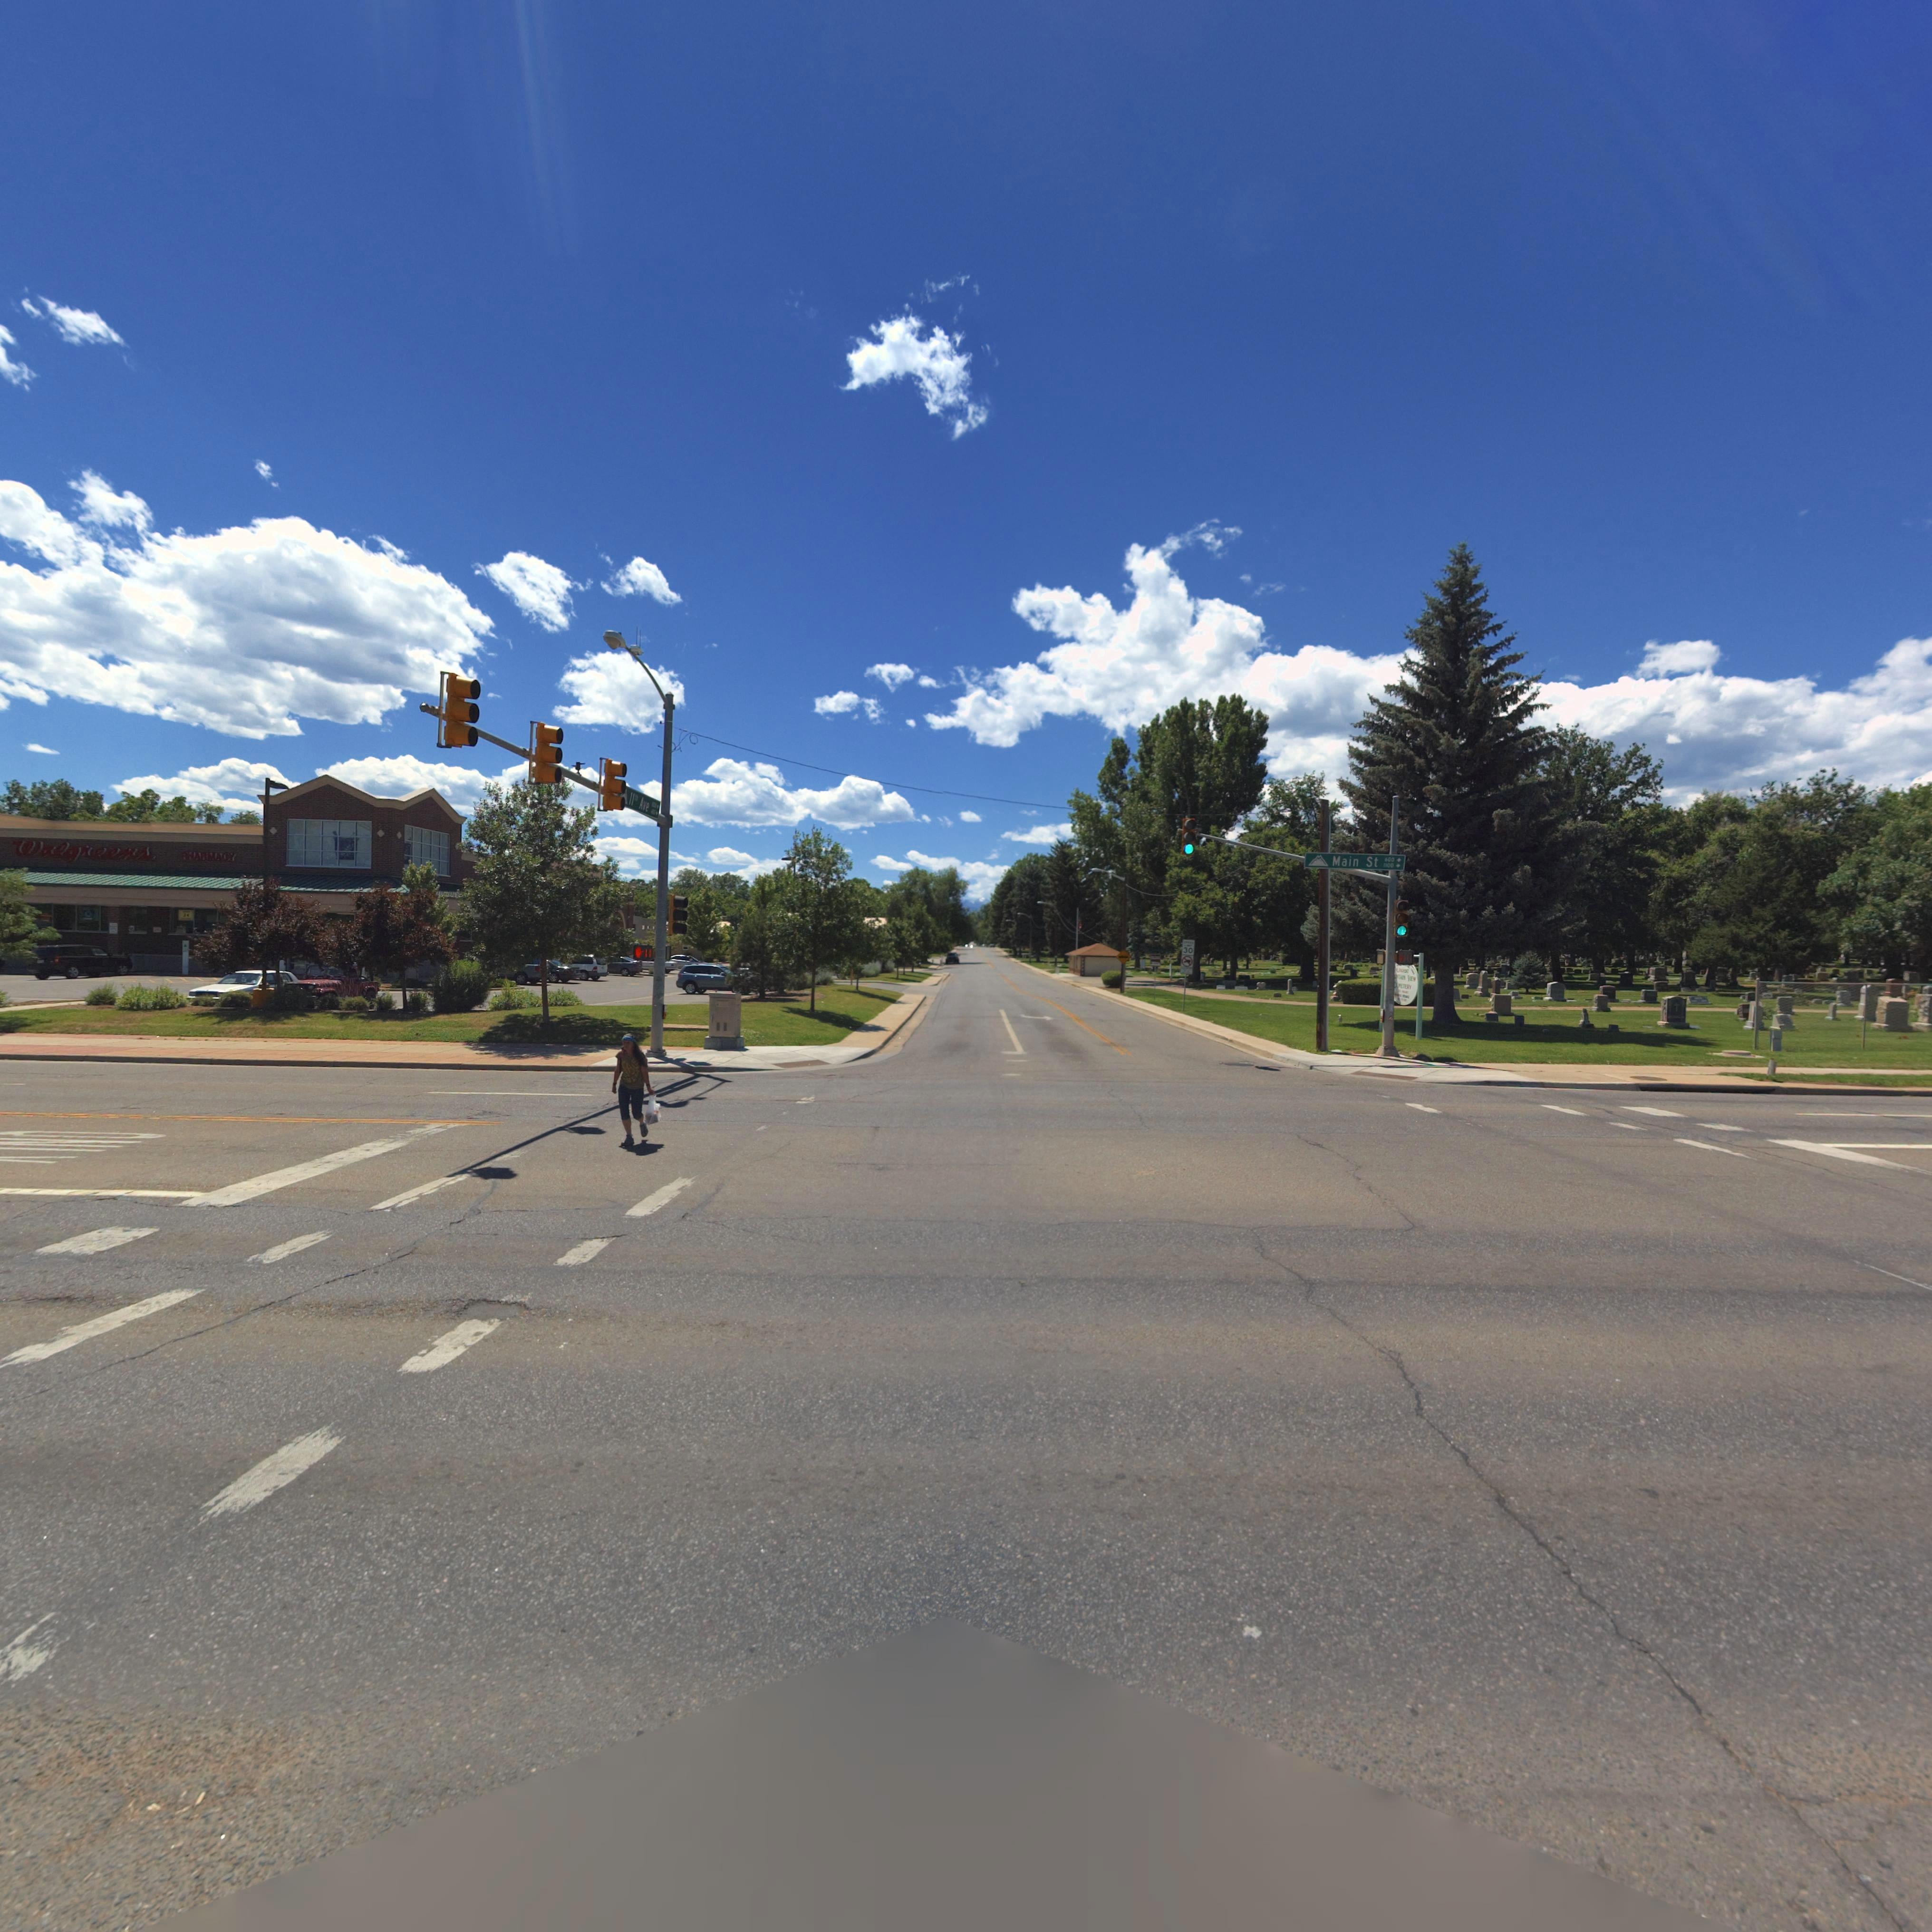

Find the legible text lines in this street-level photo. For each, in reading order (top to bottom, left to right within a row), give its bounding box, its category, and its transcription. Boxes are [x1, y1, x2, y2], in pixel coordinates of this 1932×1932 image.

[628, 791, 649, 812] StreetName: 11** Ave
[9, 839, 156, 864] BusinessName: Walgreens
[1332, 855, 1379, 868] StreetName: Main St
[1384, 857, 1394, 862] StreetNumberRange: *00
[1383, 862, 1401, 868] StreetNumberRange: 1100->
[1396, 967, 1410, 973] BusinessName: L*******
[1394, 972, 1417, 983] BusinessName: *****AI* V*E*
[1393, 981, 1412, 989] BusinessName: ***E*E*Y